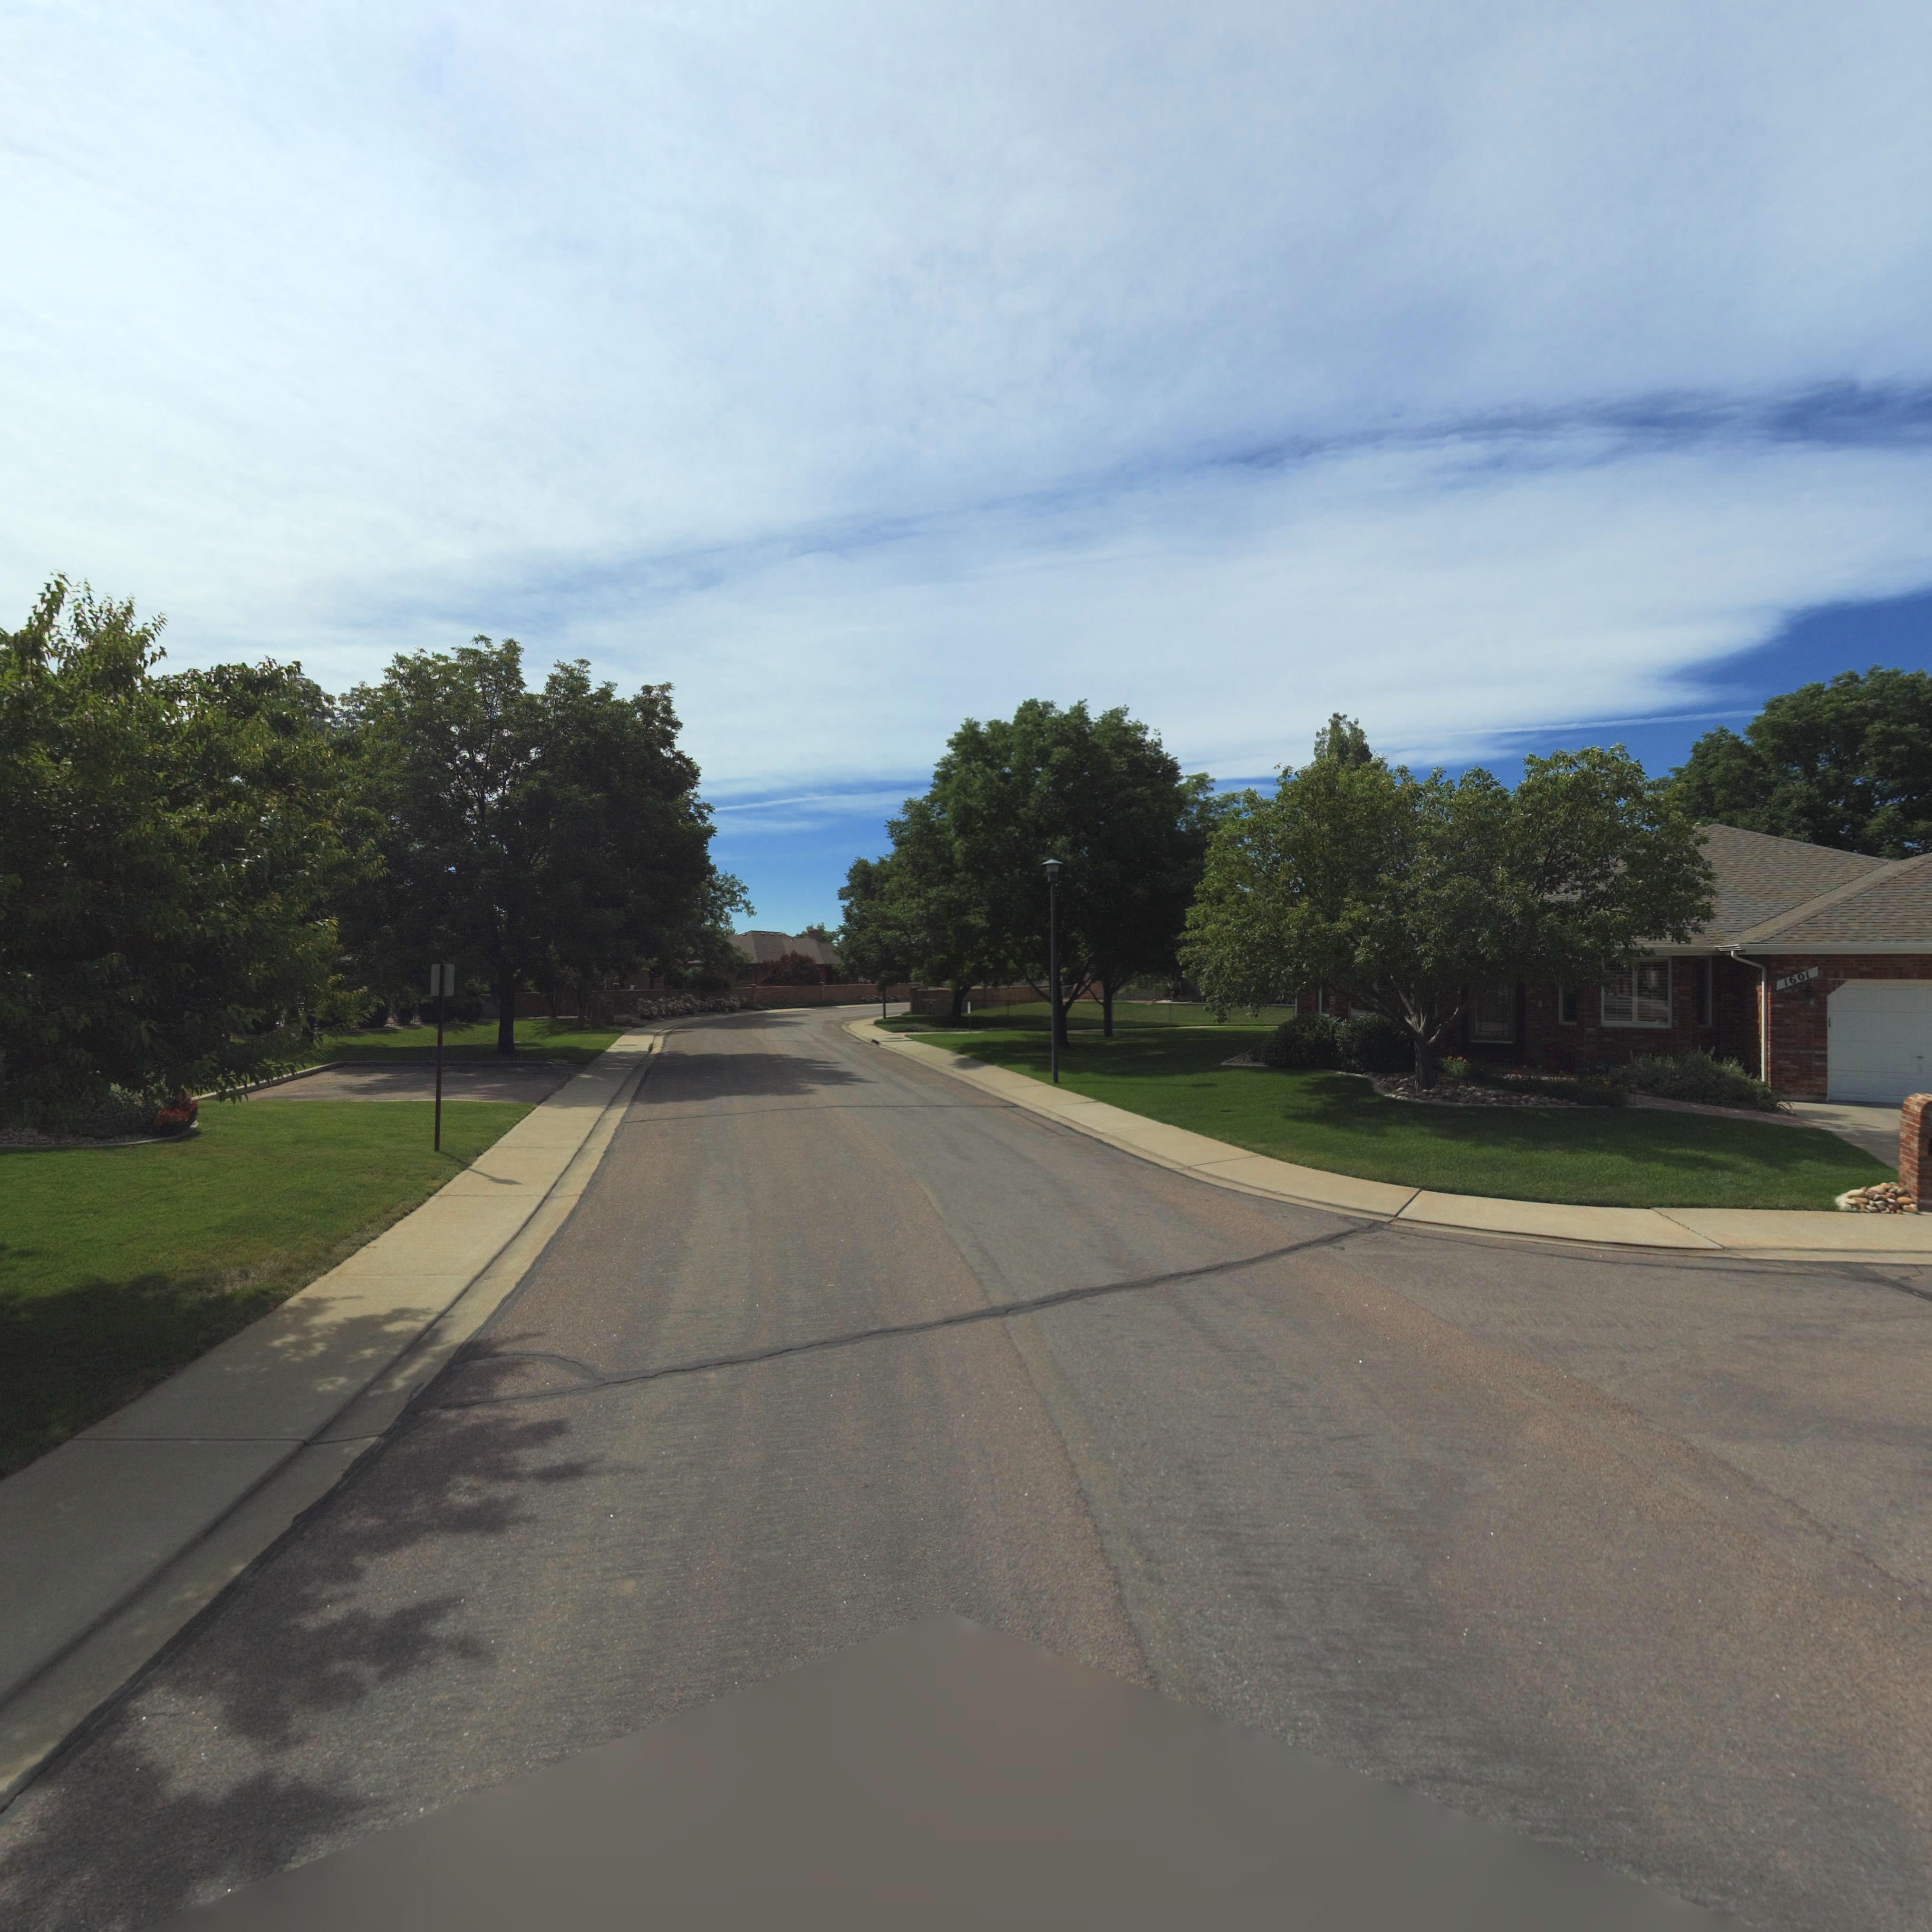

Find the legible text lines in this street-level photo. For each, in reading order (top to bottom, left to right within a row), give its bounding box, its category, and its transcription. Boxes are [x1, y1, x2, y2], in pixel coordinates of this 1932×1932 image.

[1783, 970, 1809, 986] StreetNumber: 1601